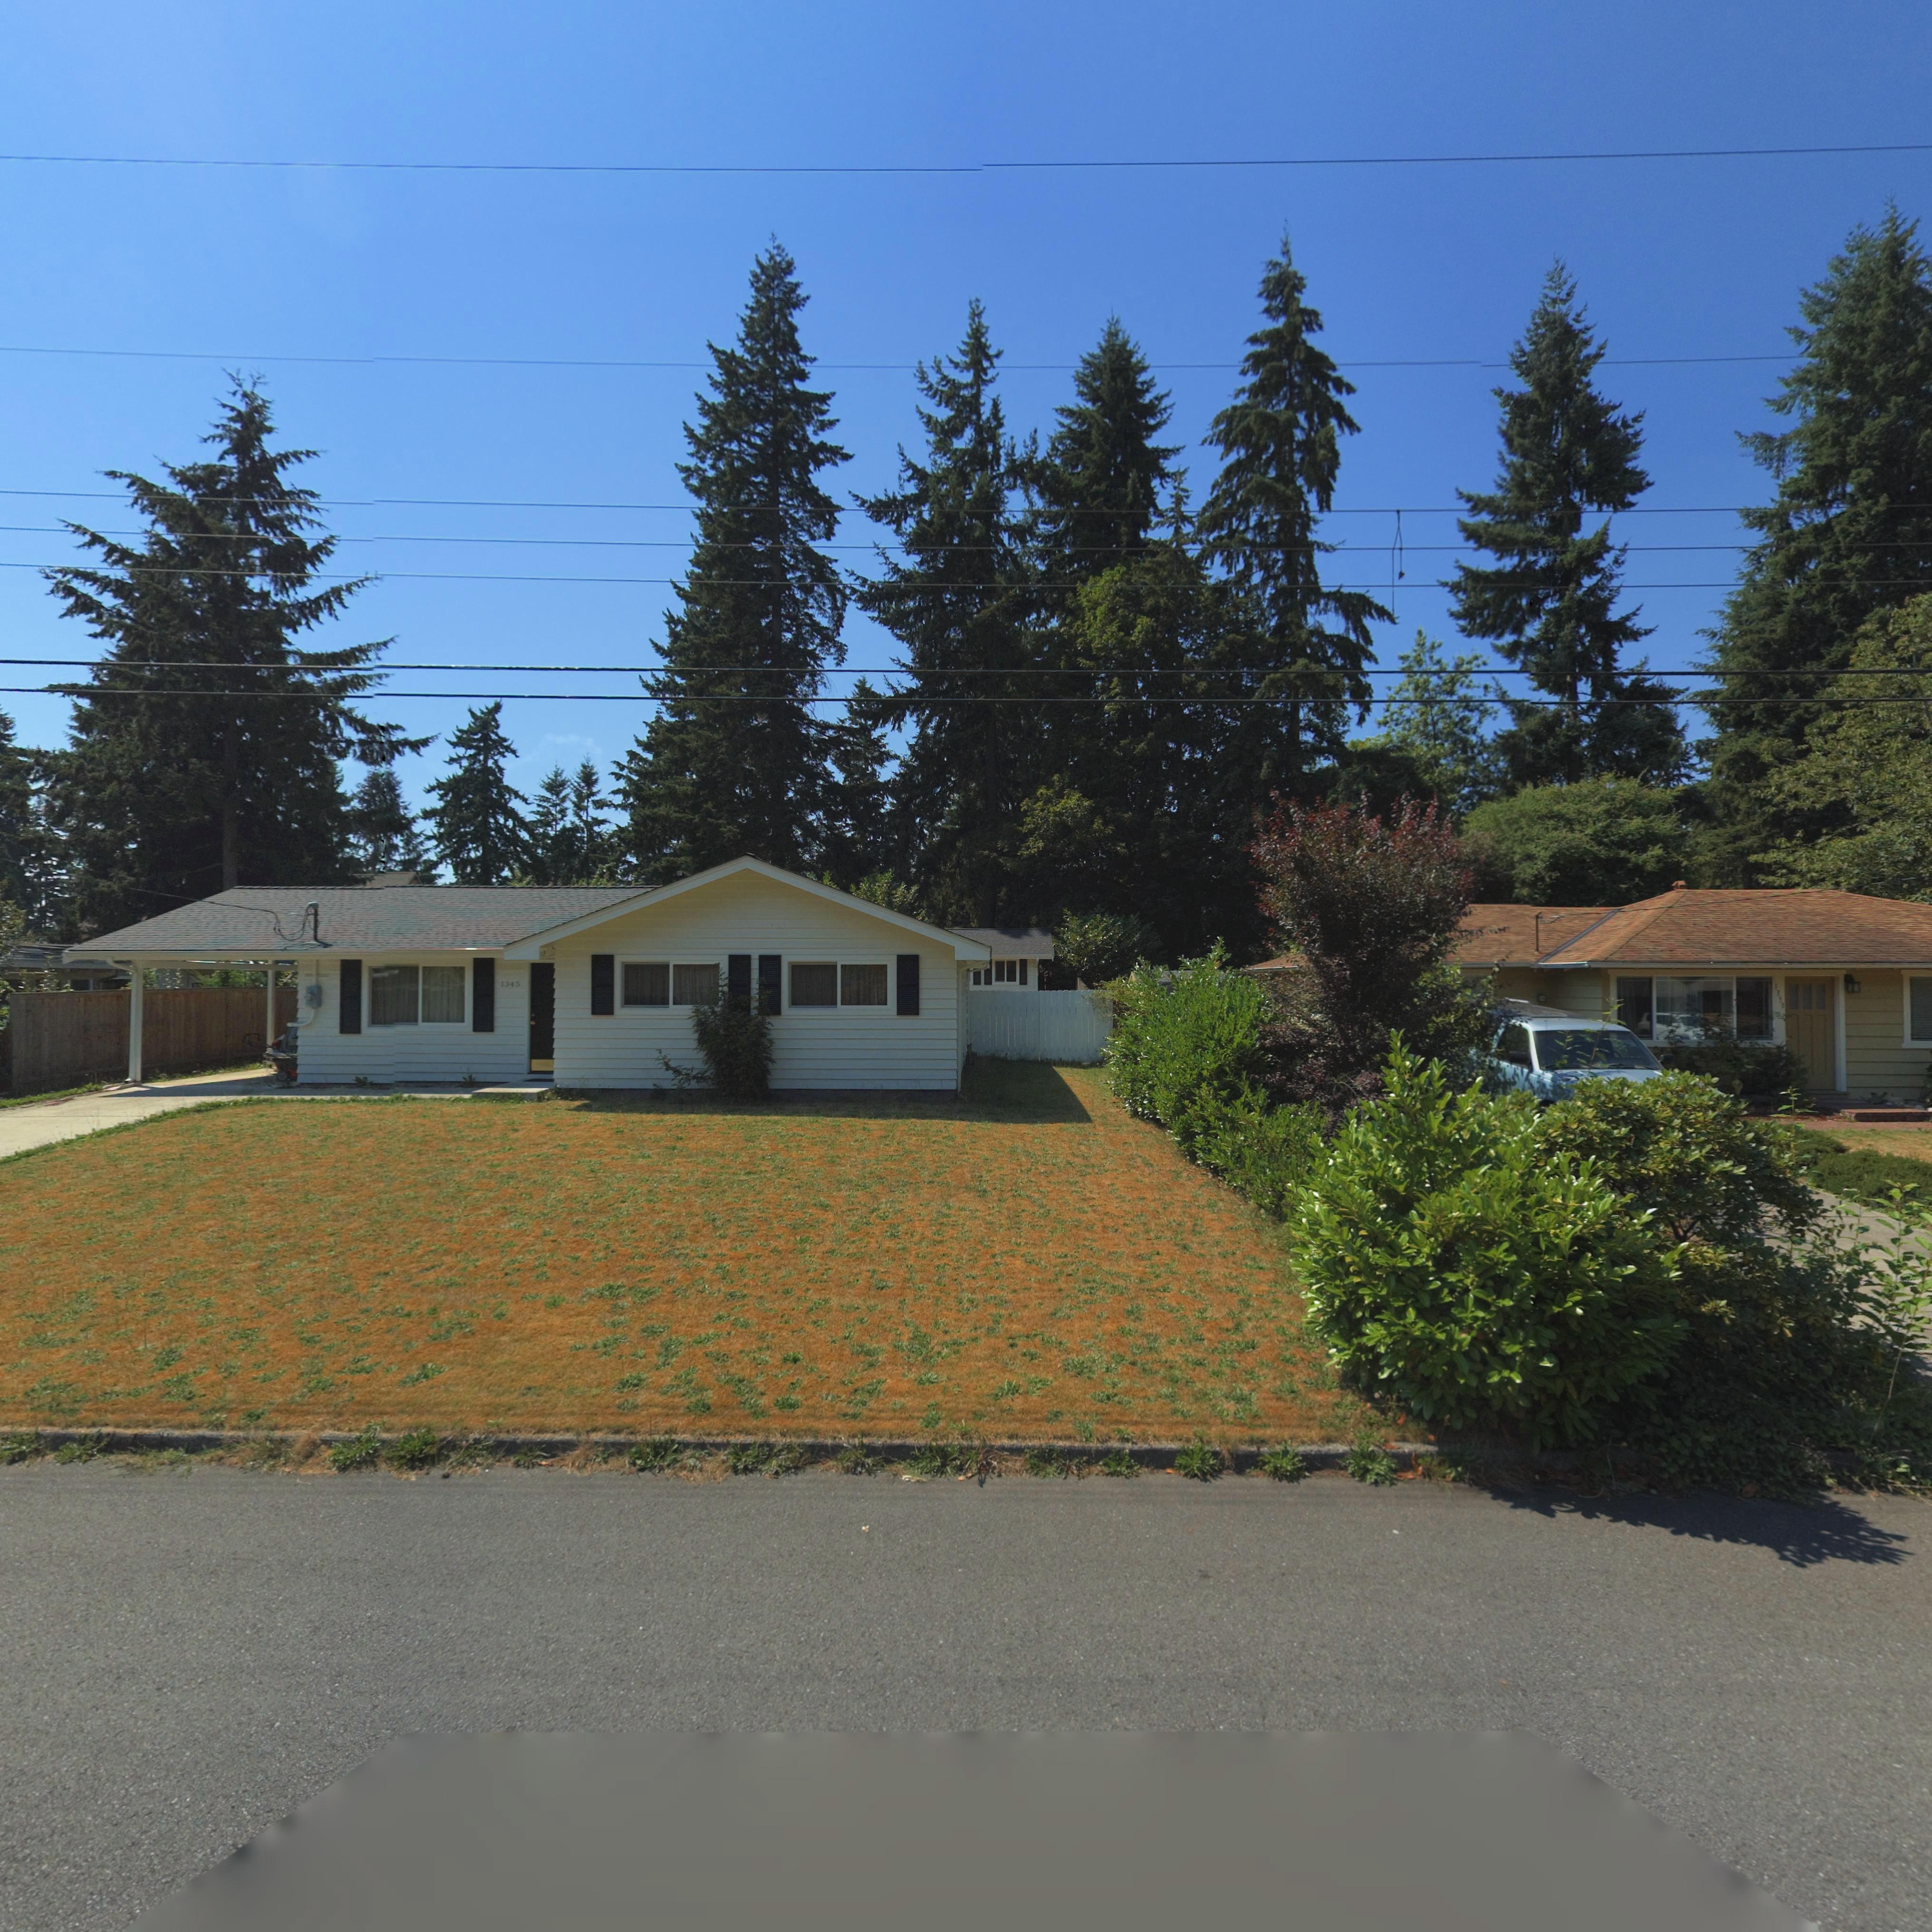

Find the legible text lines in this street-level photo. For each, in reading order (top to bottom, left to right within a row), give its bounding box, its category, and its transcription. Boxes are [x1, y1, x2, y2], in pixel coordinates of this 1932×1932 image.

[501, 980, 520, 987] StreetNumber: 1345